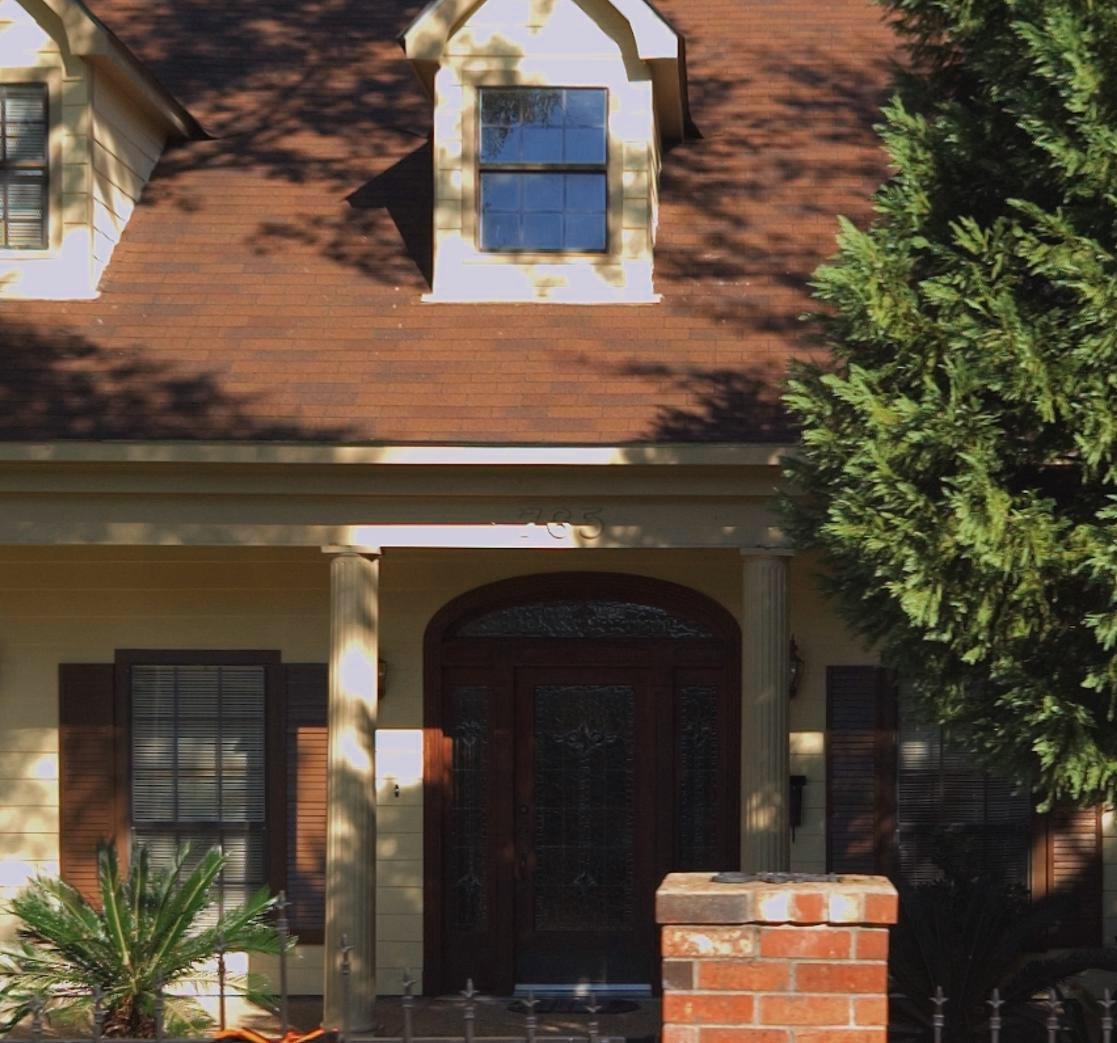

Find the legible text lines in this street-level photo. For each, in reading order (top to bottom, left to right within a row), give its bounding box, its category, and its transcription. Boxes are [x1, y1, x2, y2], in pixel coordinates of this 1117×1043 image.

[511, 503, 609, 543] StreetNumber: 785